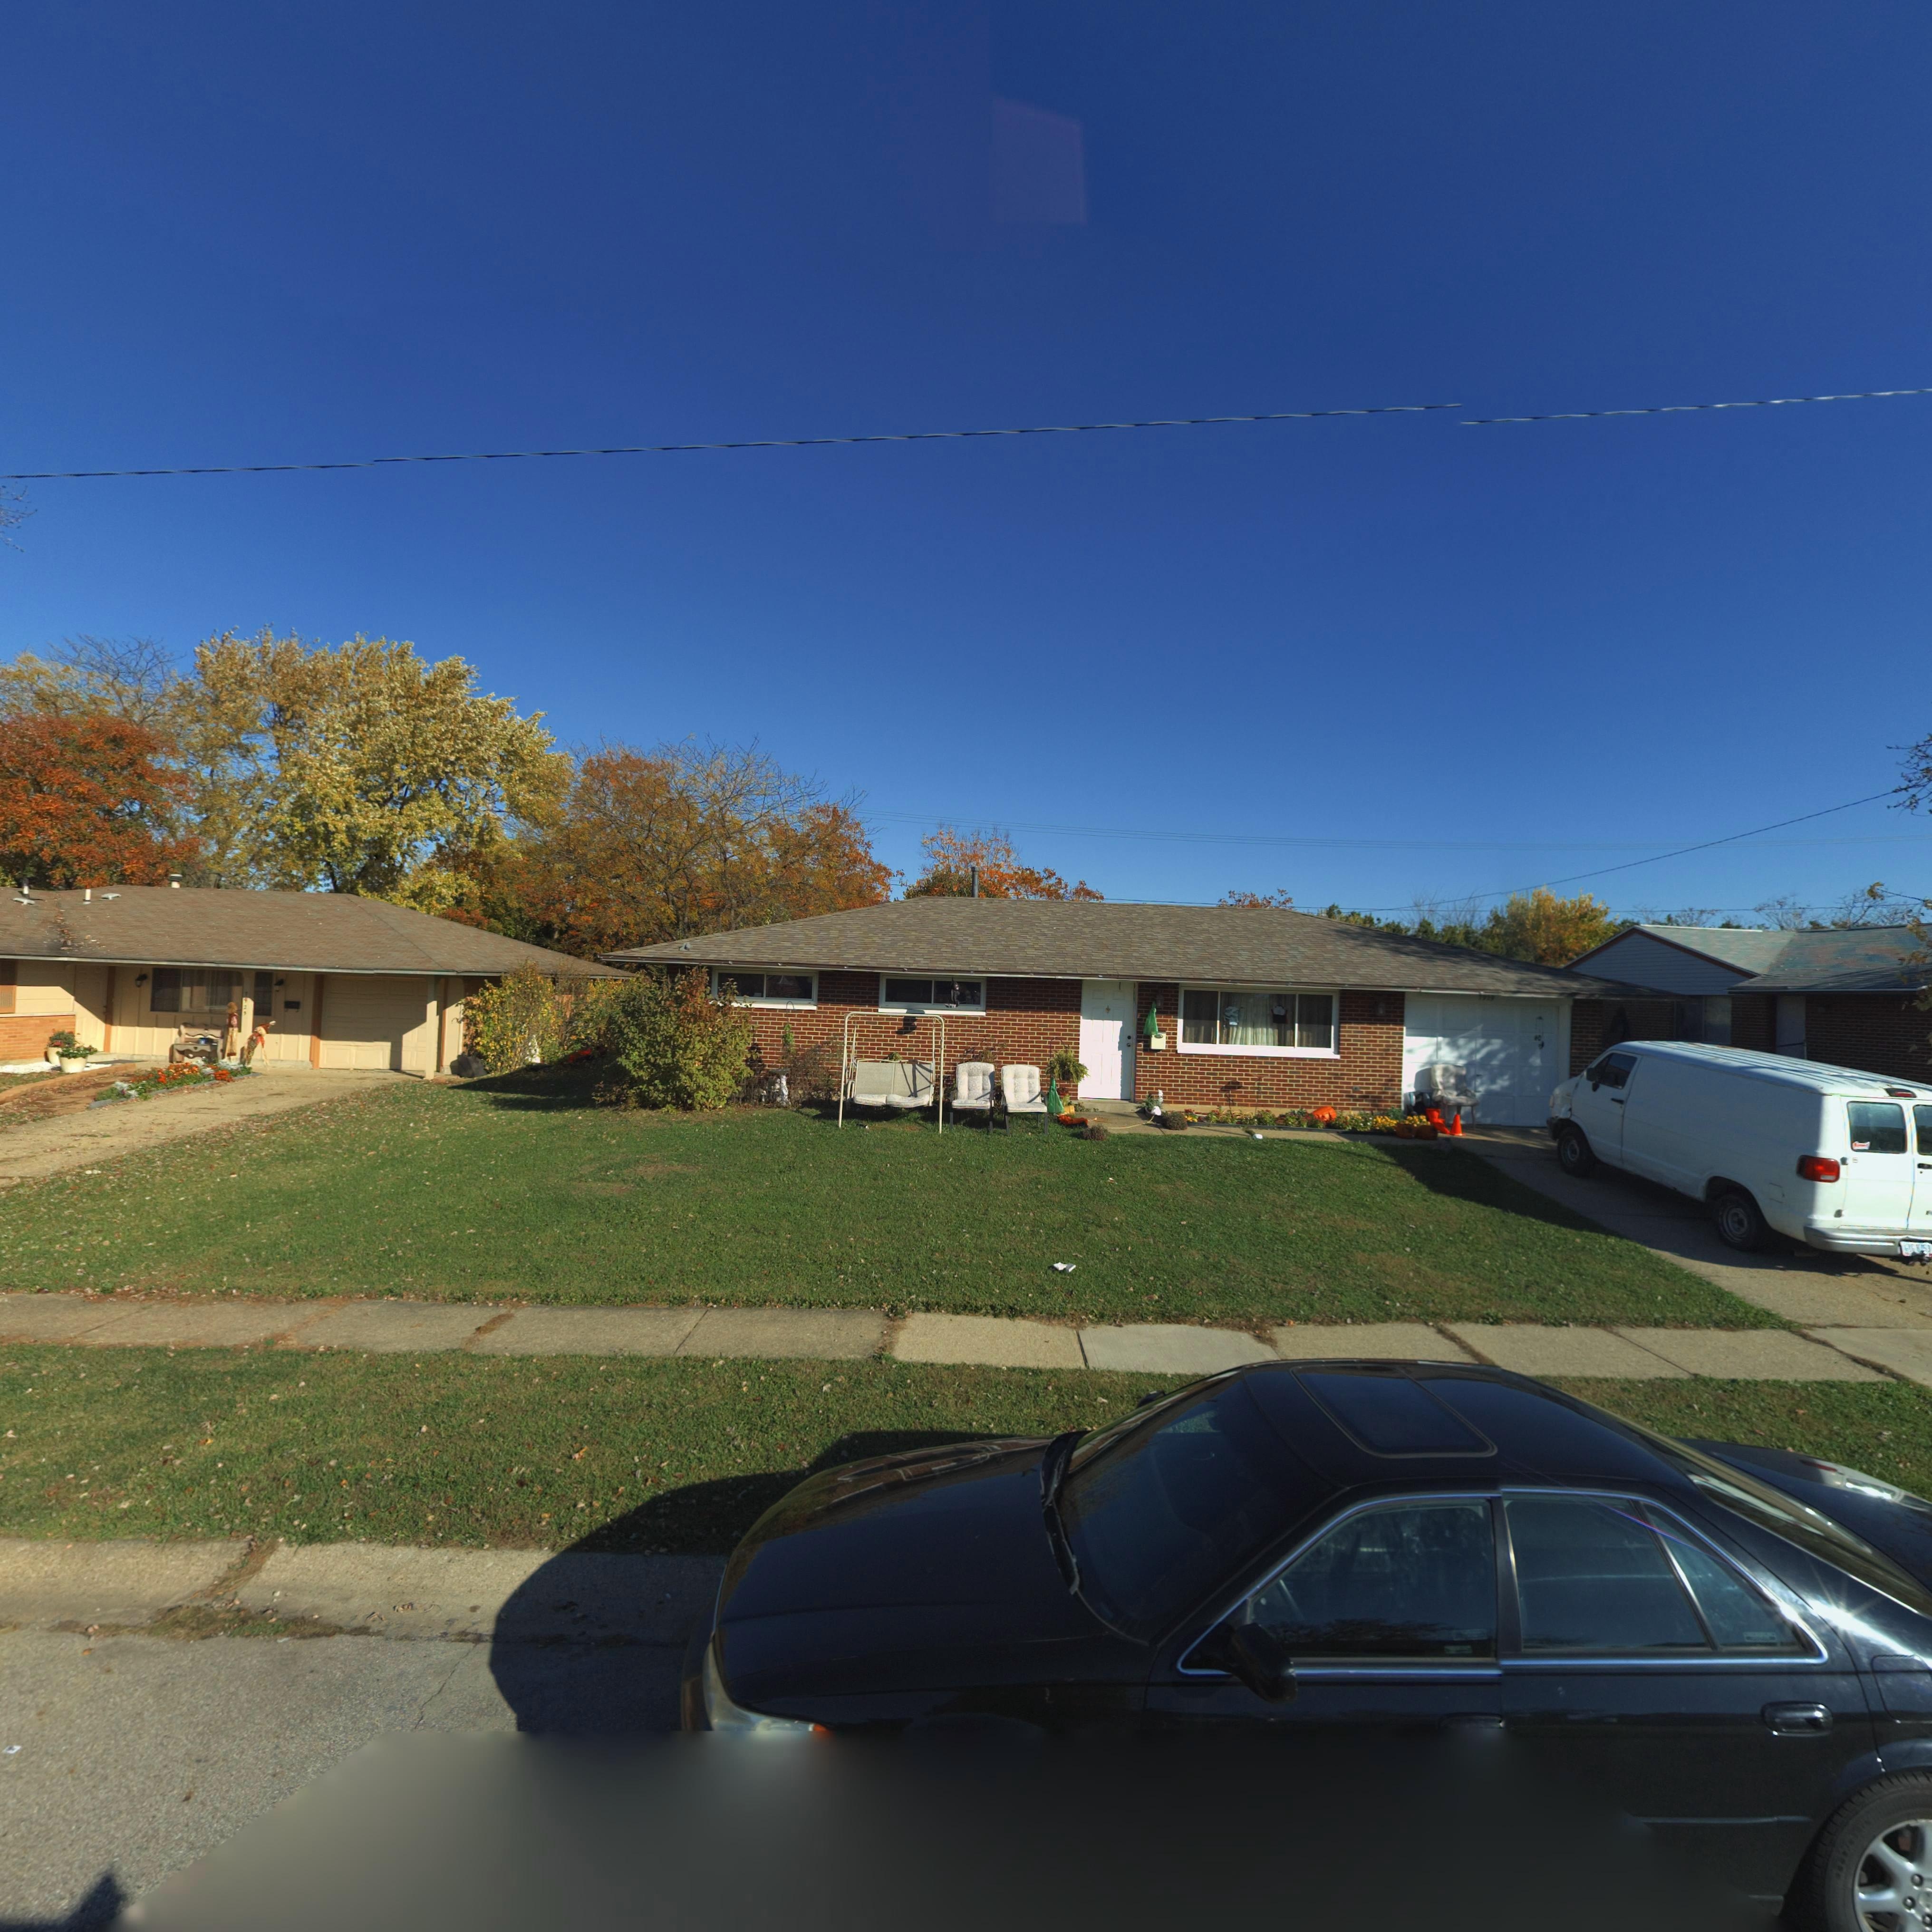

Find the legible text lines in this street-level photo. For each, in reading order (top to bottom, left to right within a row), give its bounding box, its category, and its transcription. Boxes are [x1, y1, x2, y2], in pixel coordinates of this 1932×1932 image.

[242, 990, 249, 1017] StreetNumber: **2*
[1478, 993, 1497, 1002] StreetNumber: ***9